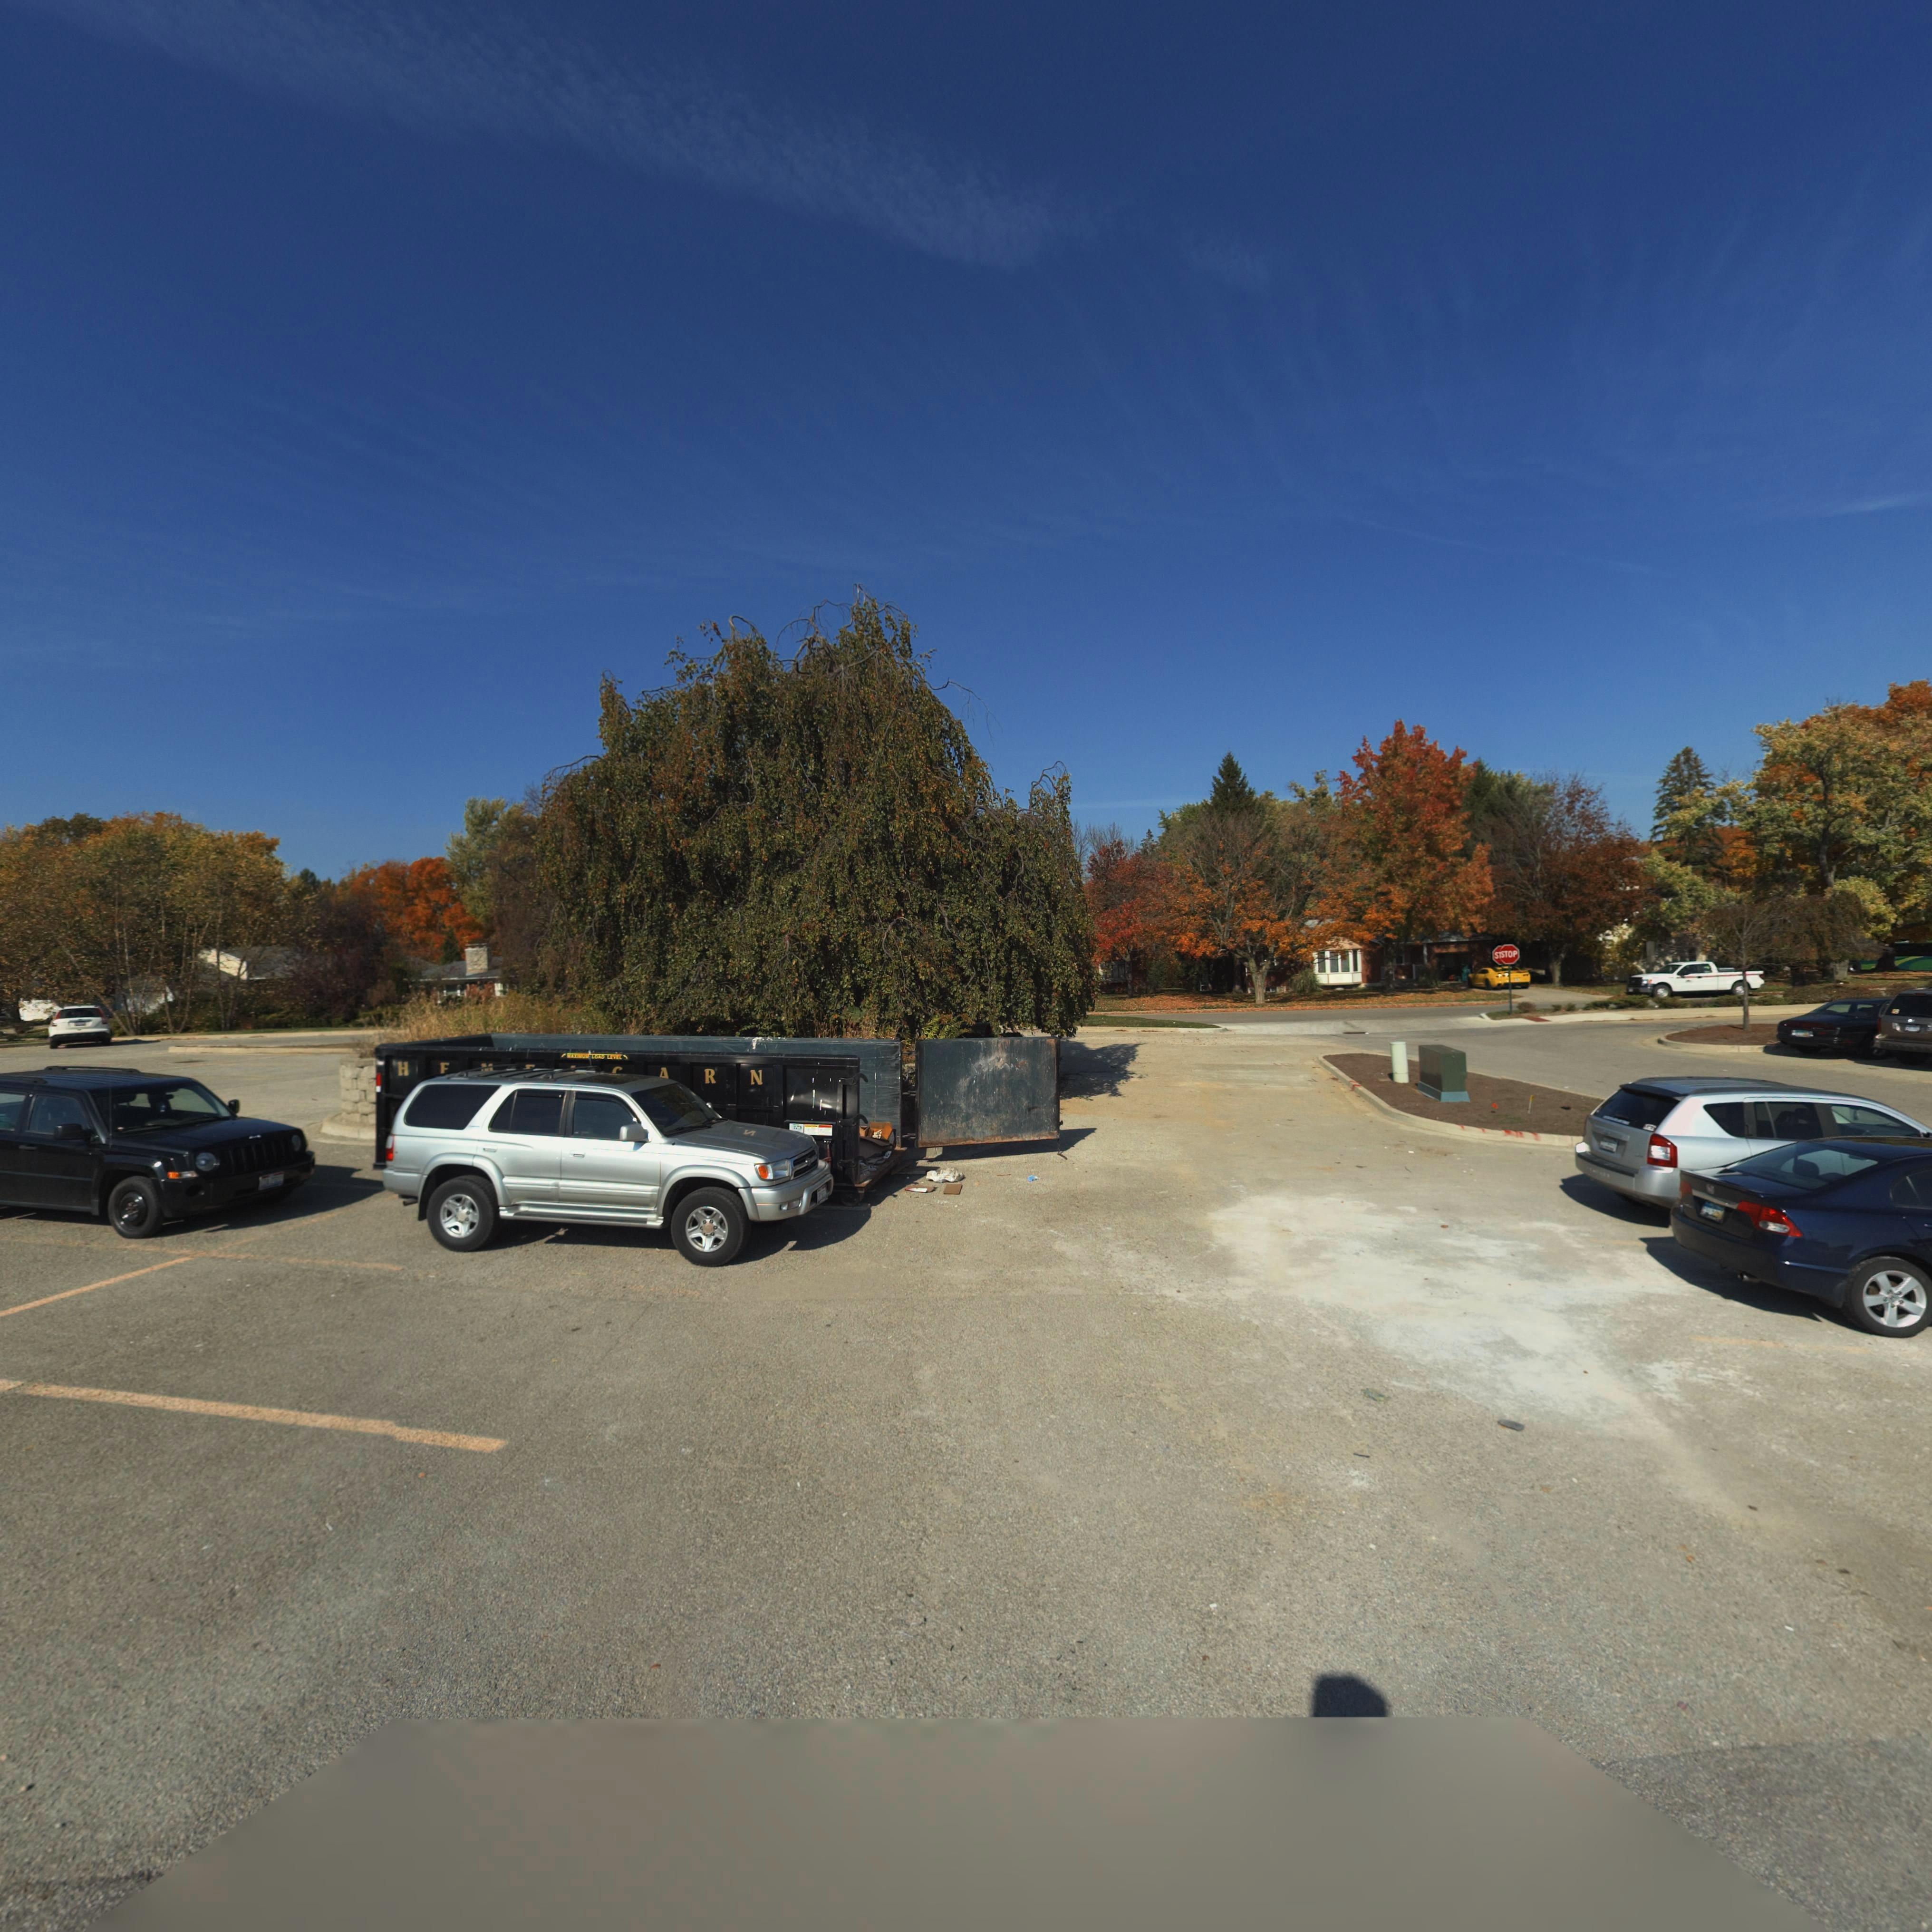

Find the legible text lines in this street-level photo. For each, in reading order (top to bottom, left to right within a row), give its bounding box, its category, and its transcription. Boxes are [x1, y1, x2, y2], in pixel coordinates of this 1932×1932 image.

[1493, 951, 1500, 960] None: S
[1500, 949, 1518, 959] None: STOP